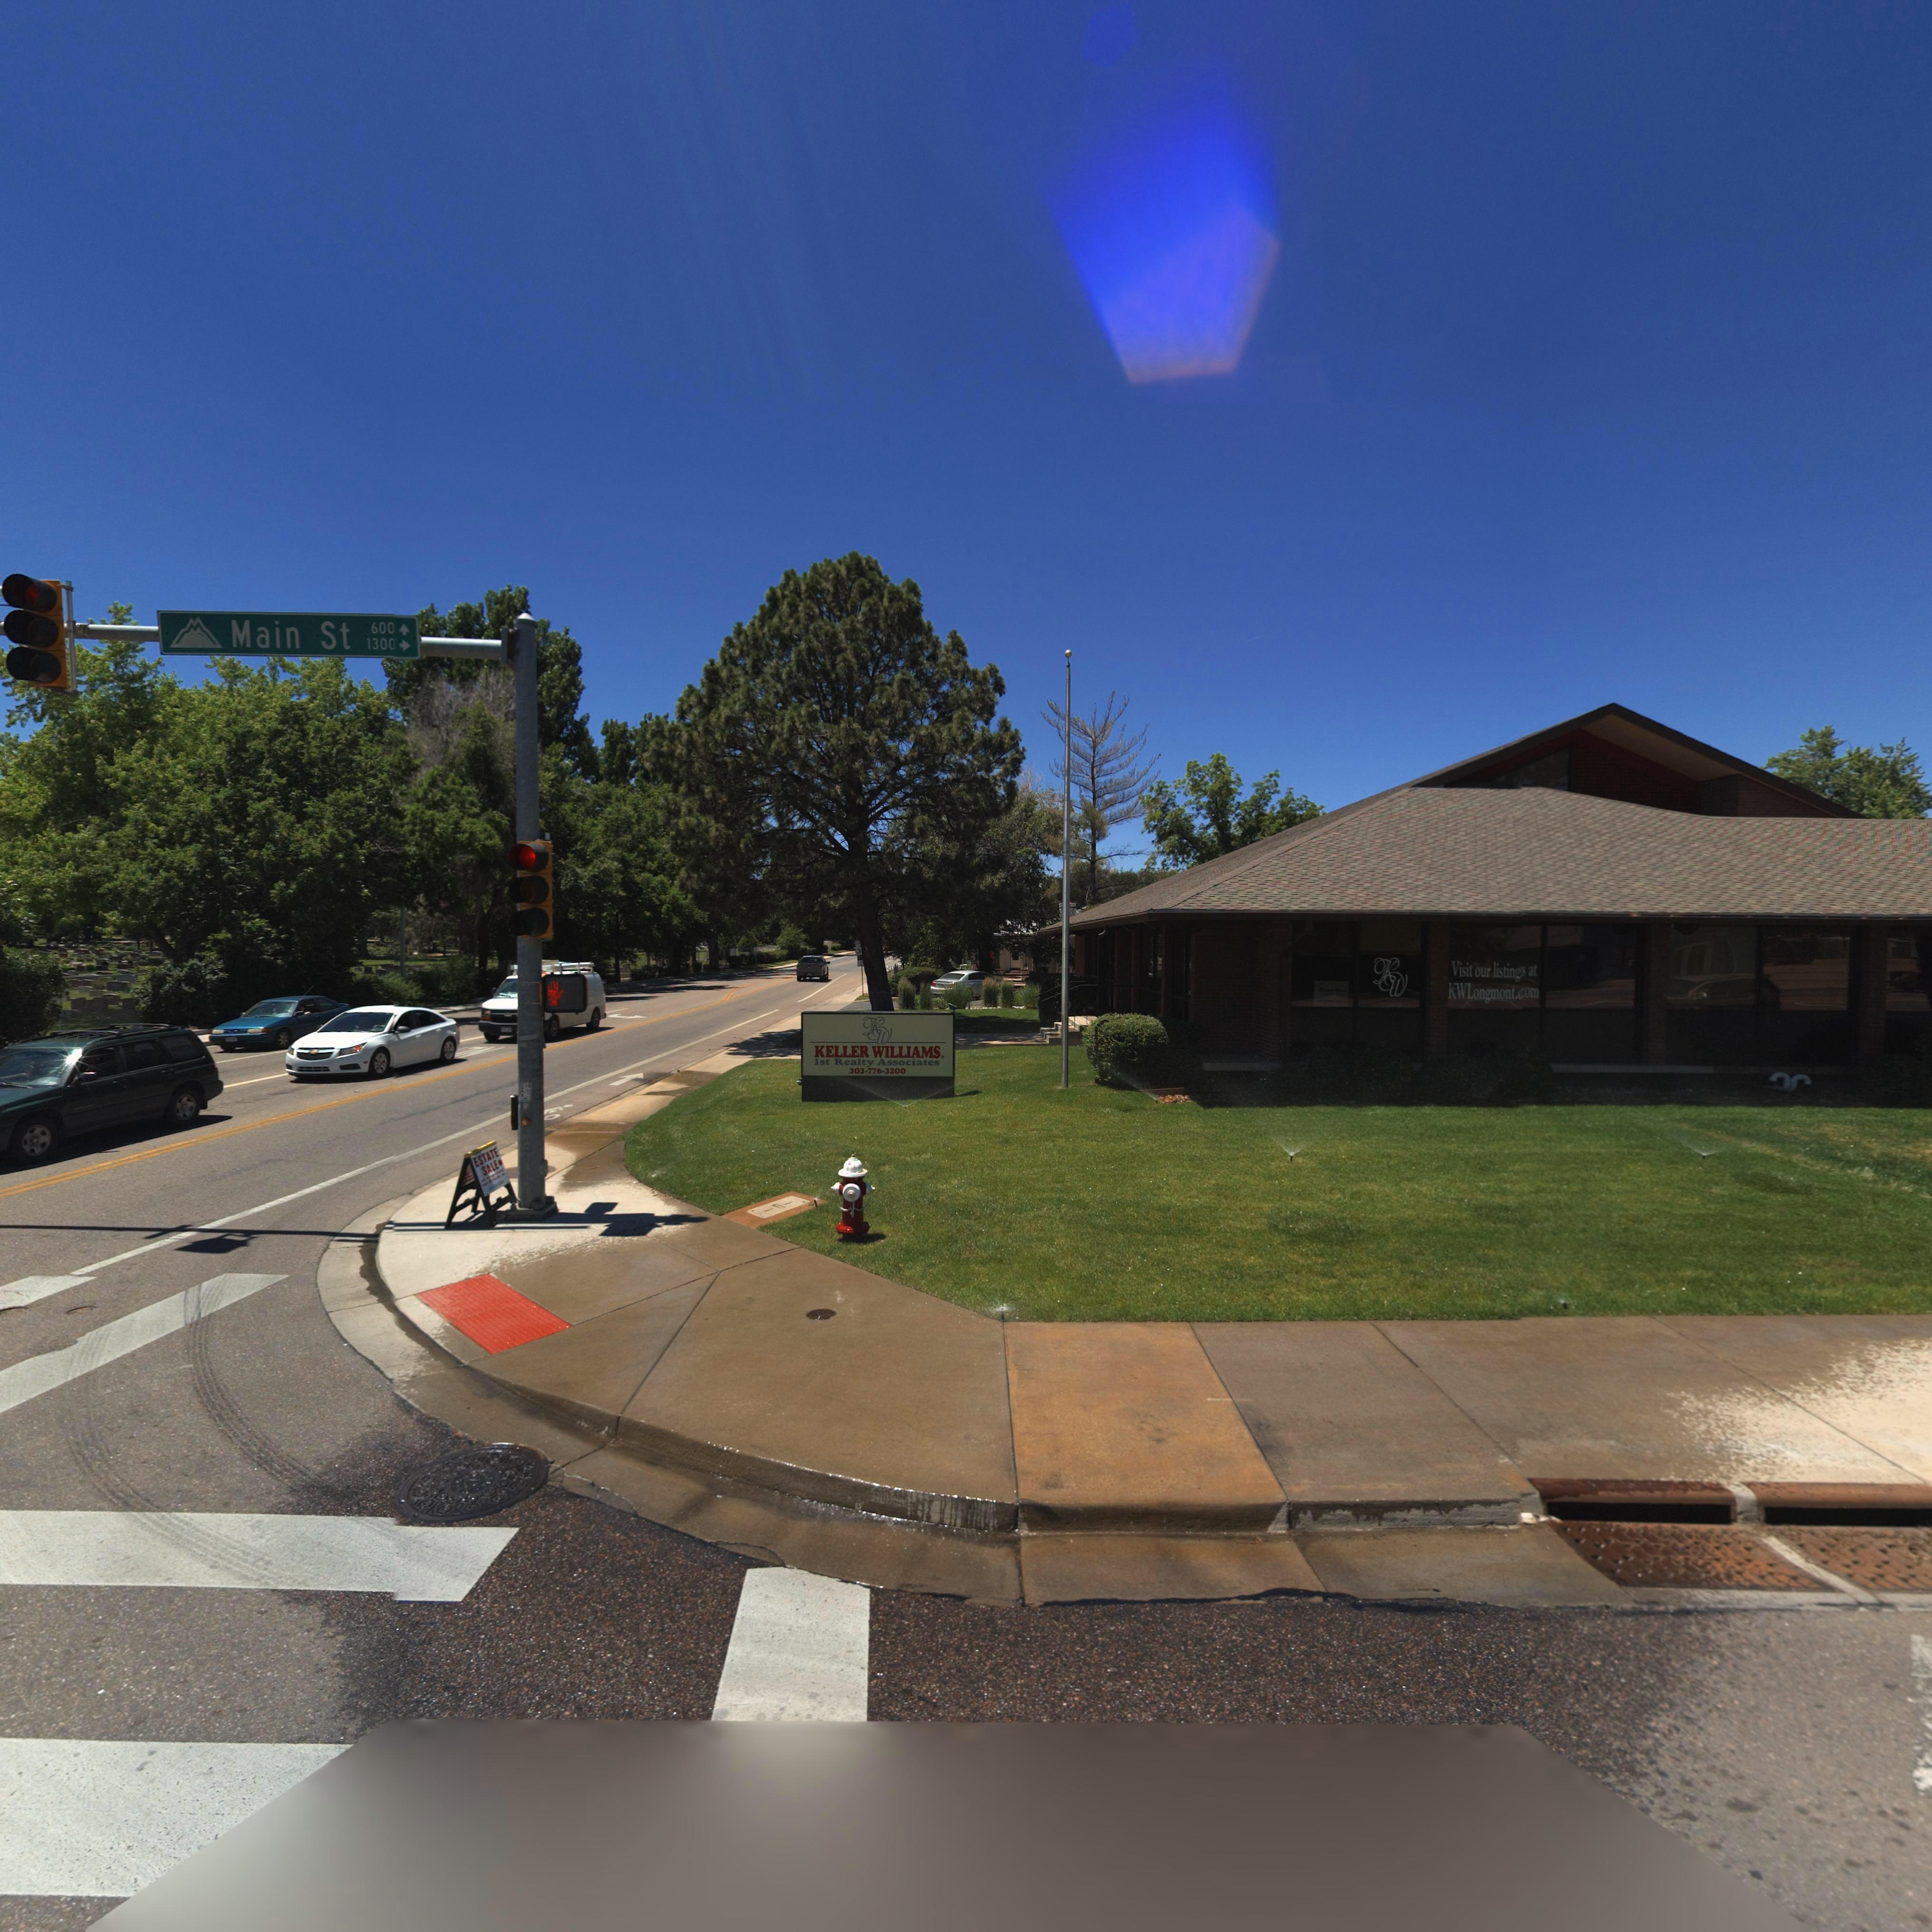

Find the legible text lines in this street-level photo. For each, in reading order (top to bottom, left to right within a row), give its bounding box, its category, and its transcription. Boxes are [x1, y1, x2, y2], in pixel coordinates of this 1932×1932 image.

[230, 618, 351, 650] StreetName: Main St
[370, 621, 394, 635] StreetNumberRange: 600
[366, 637, 410, 651] StreetNumberRange: 1300->
[814, 1045, 941, 1058] BusinessName: KELLER WILLIAMS
[814, 1058, 940, 1068] BusinessName: 1st Realty Associates